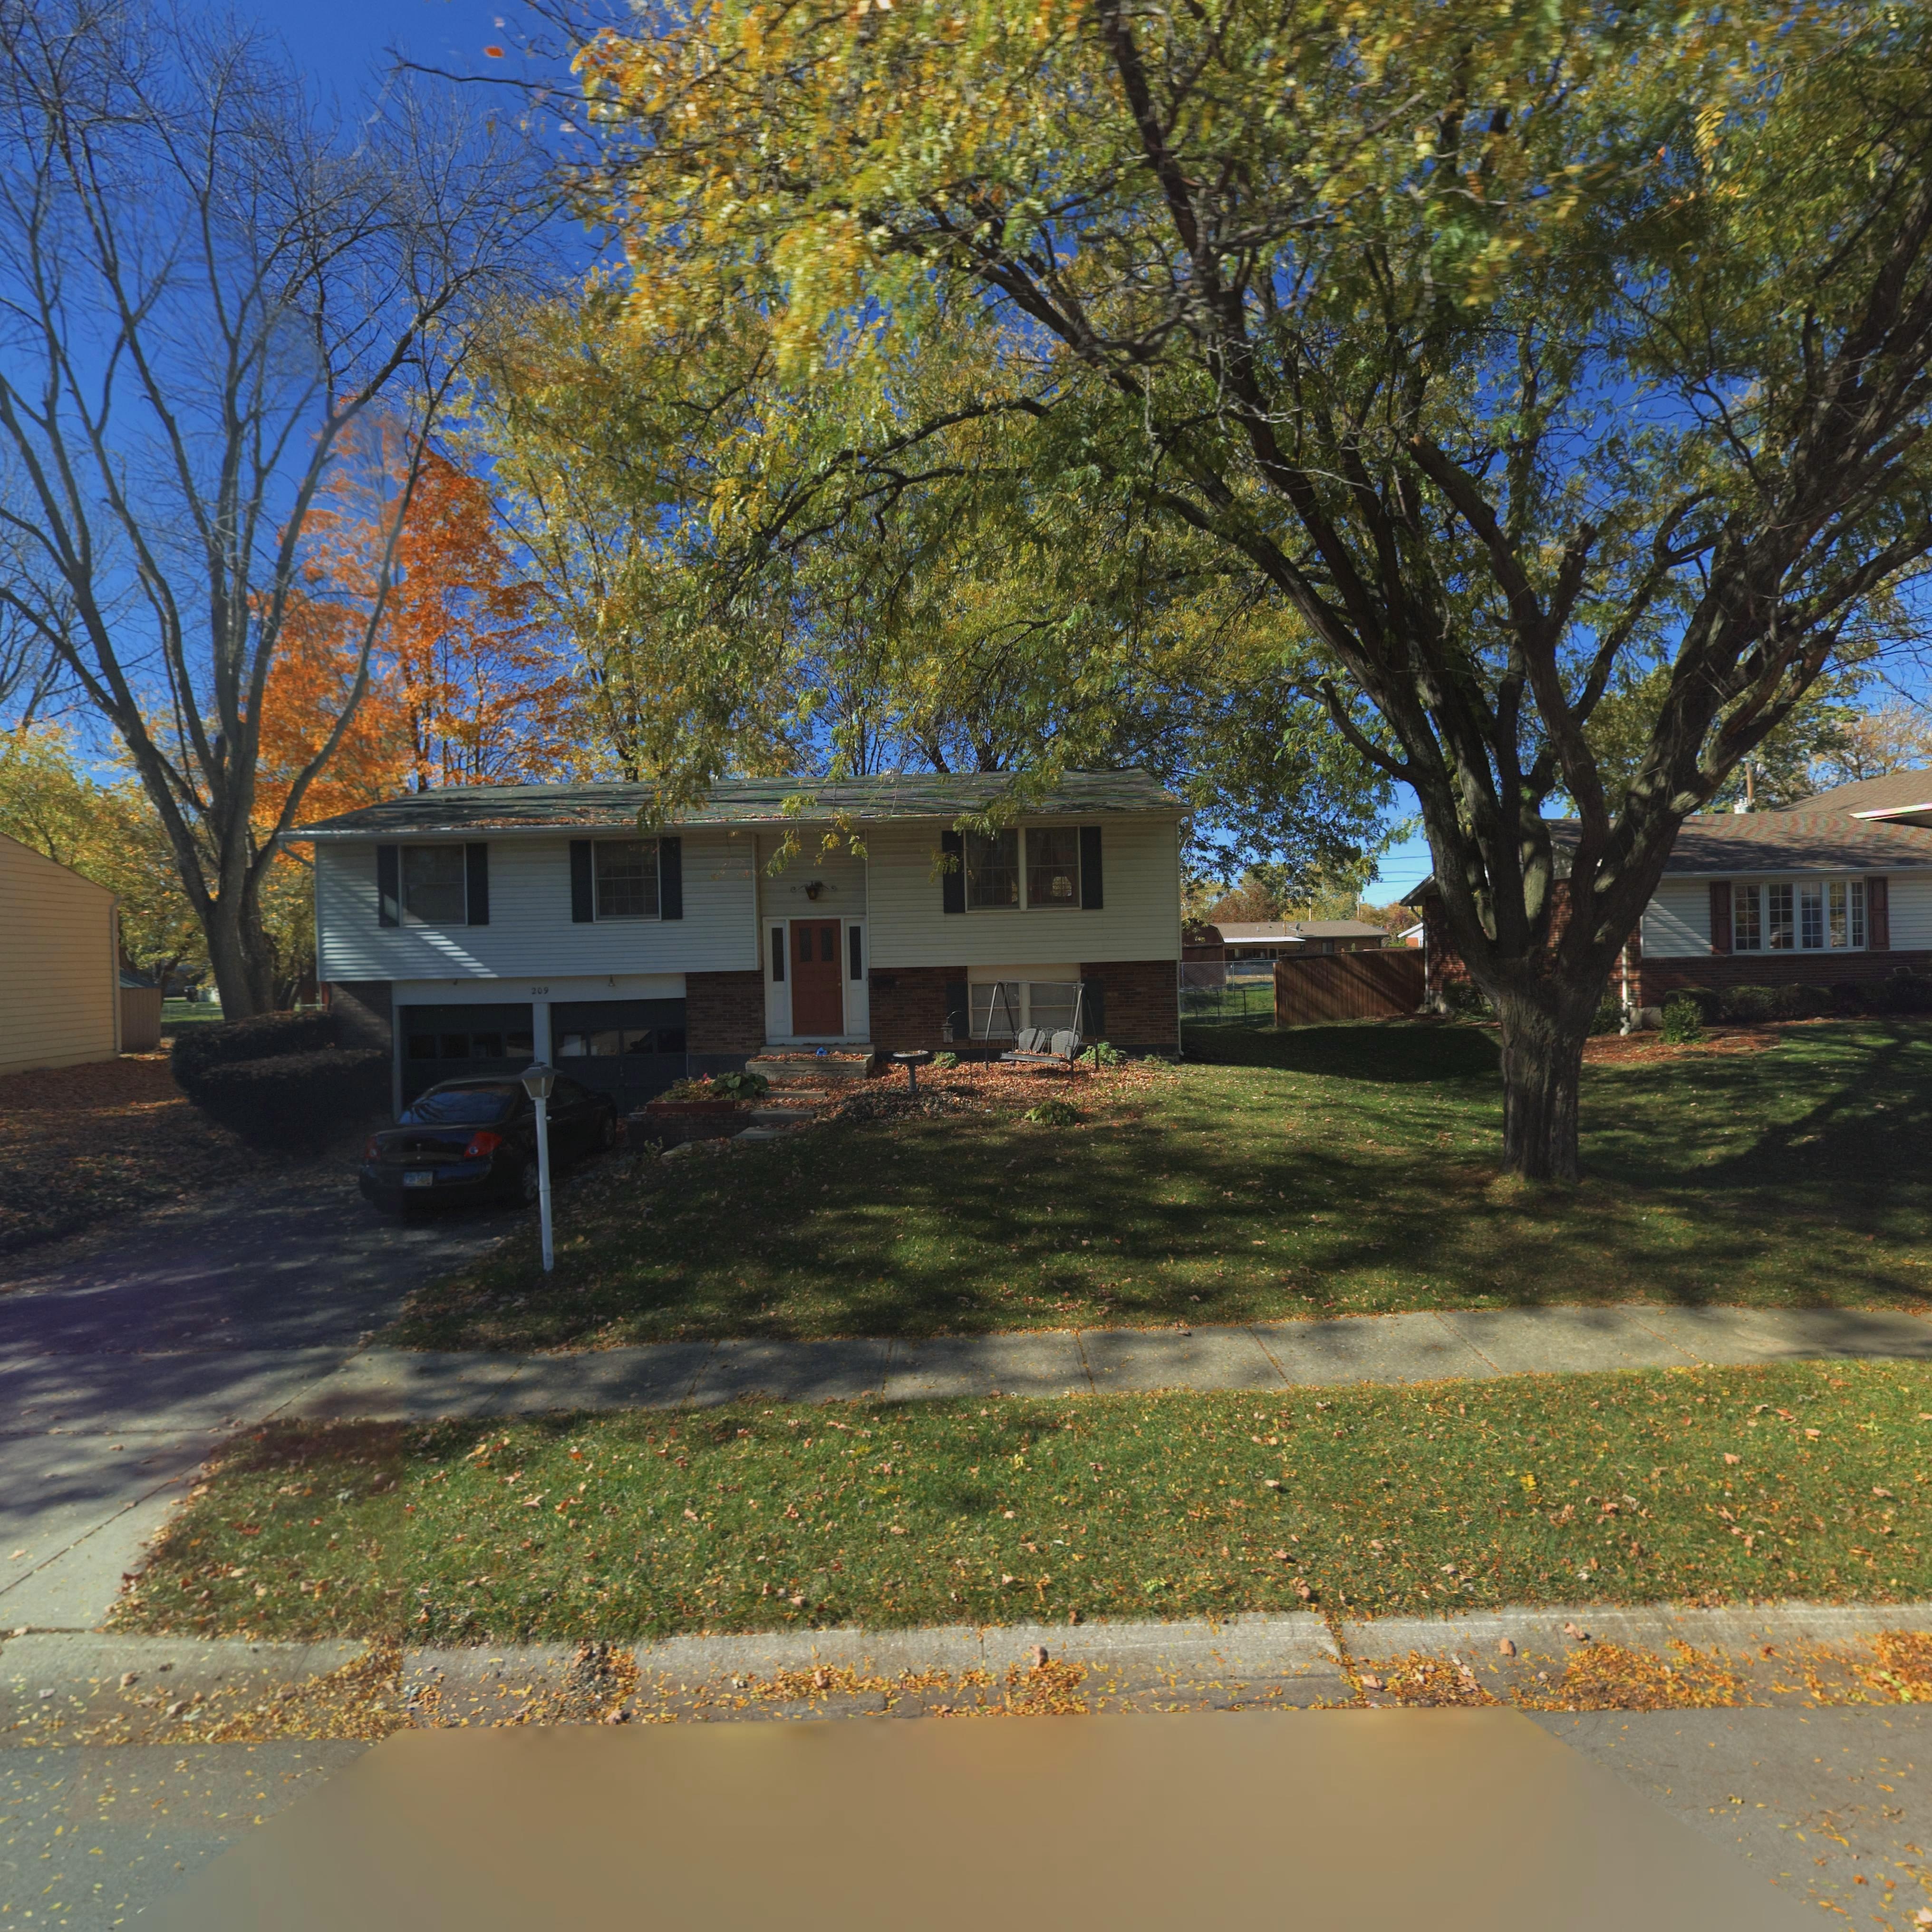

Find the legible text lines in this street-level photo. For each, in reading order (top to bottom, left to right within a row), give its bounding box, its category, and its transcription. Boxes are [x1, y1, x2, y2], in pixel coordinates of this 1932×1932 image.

[530, 985, 550, 995] StreetNumber: 209